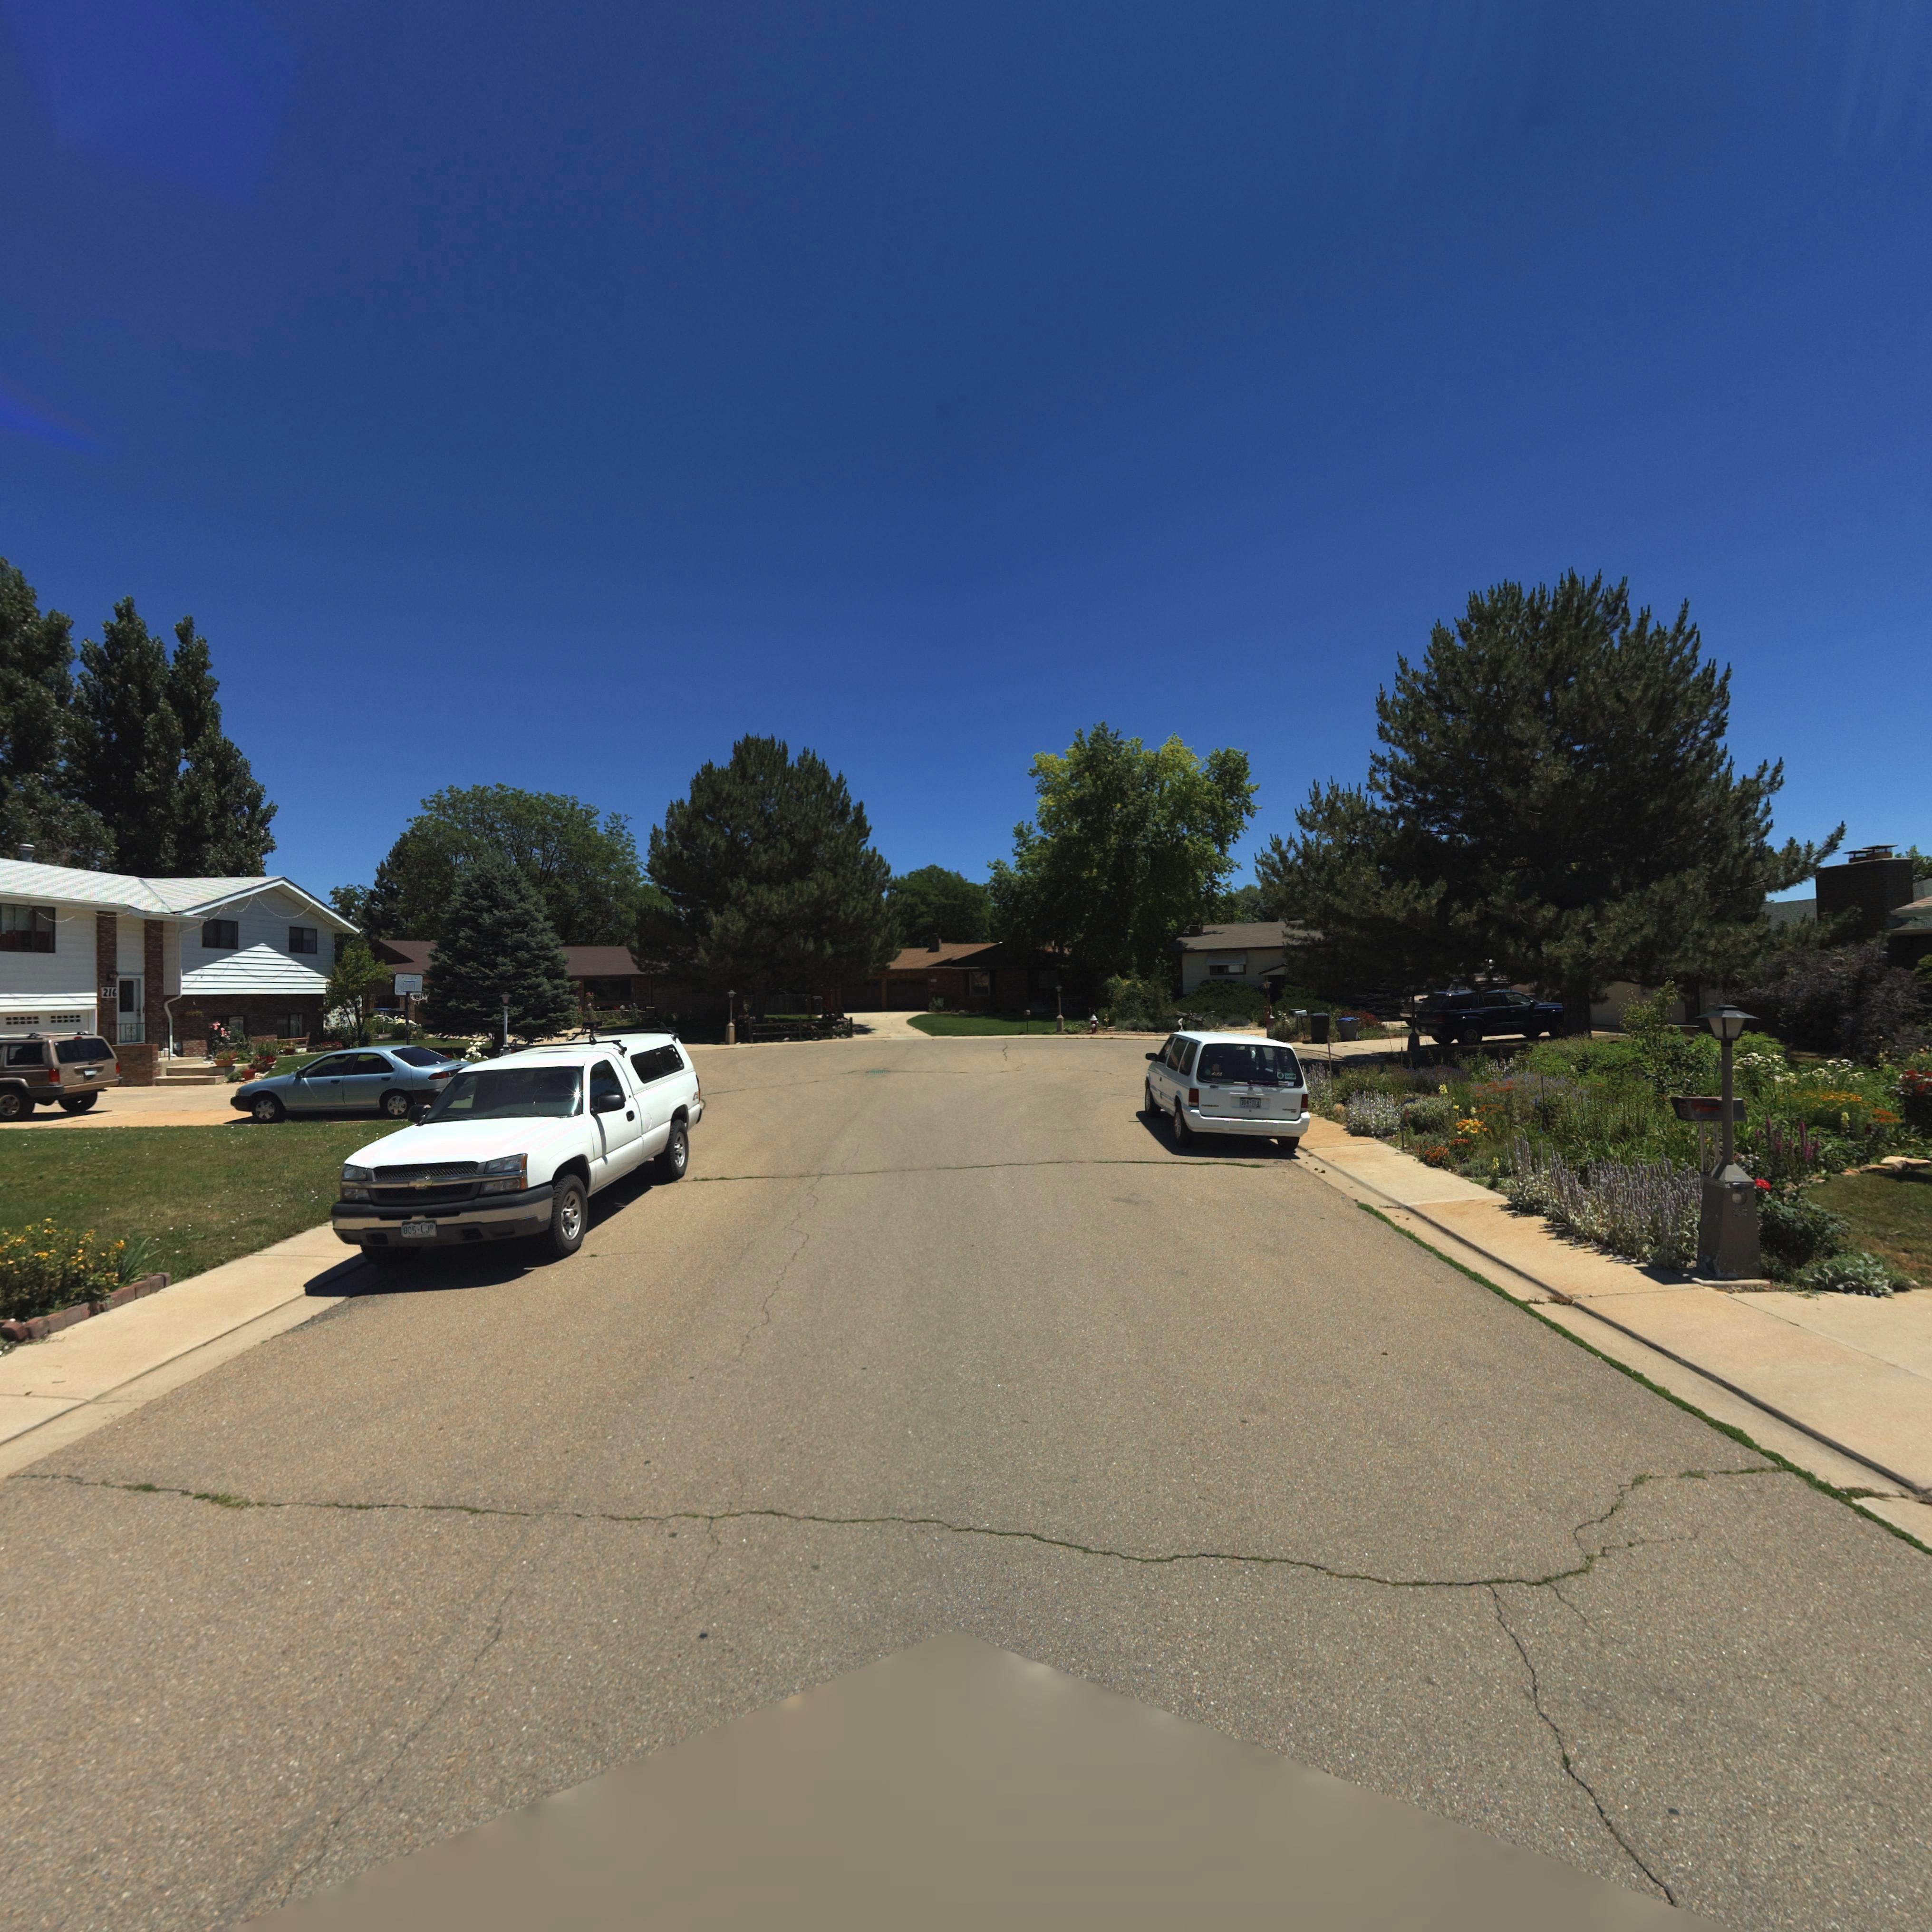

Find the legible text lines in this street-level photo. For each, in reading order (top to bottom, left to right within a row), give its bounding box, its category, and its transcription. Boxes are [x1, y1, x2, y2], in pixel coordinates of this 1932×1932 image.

[103, 987, 117, 996] StreetNumber: 216